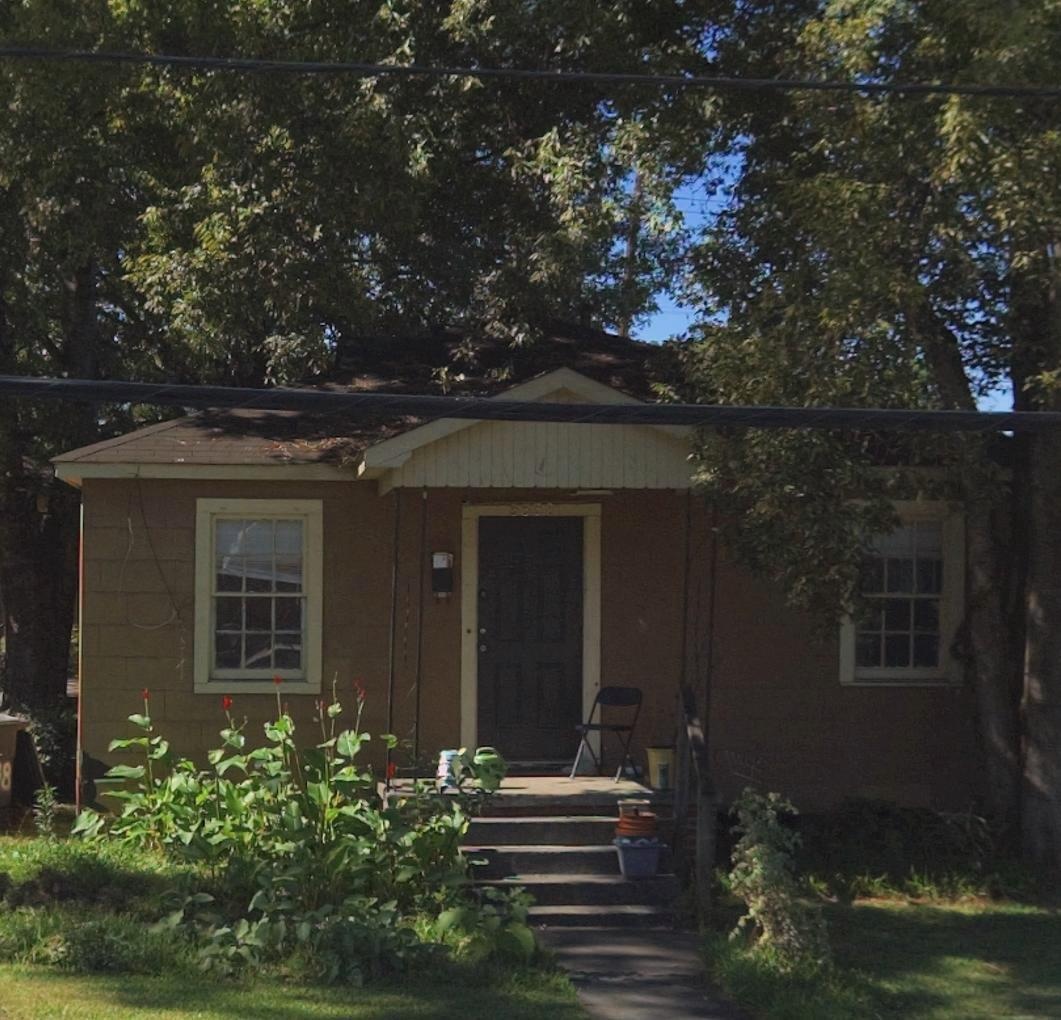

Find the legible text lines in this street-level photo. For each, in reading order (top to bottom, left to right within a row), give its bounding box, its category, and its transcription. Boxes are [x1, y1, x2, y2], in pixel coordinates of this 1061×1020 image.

[509, 502, 555, 518] StreetNumber: 3338